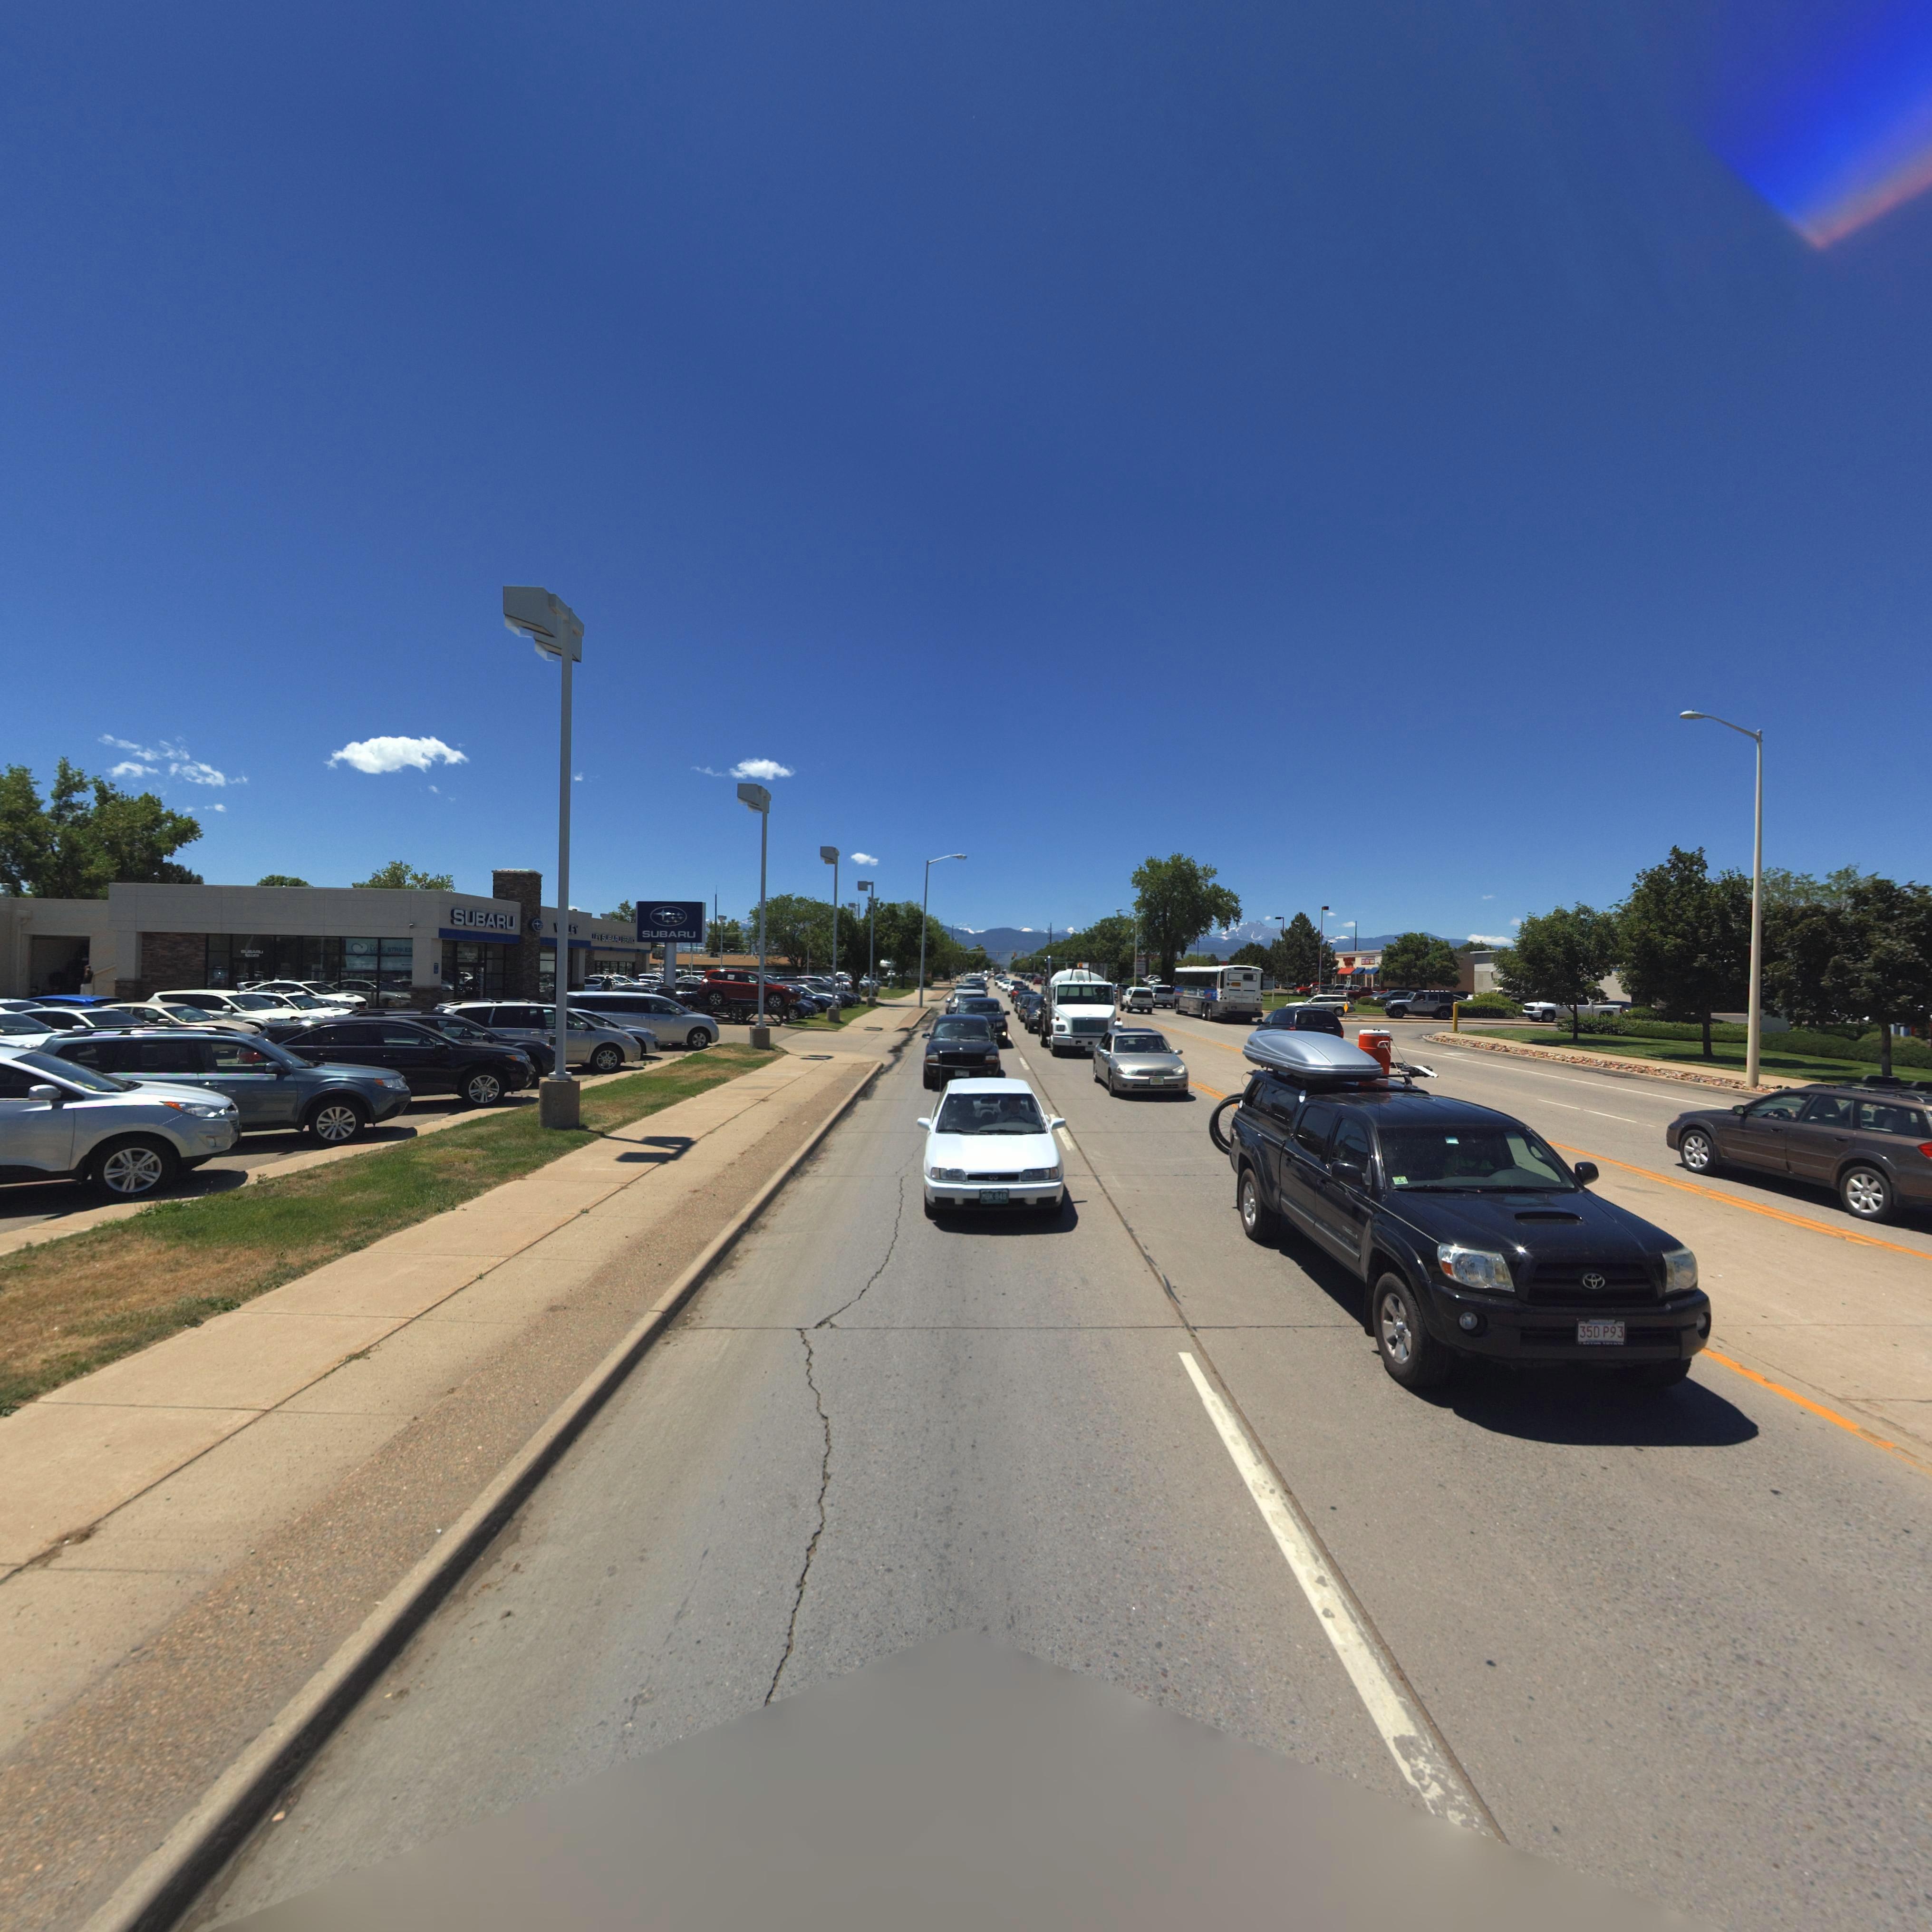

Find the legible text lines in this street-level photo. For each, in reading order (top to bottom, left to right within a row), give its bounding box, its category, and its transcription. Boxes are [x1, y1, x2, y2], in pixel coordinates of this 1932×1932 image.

[452, 908, 515, 930] BusinessName: SUBARU
[555, 923, 579, 934] BusinessName: EY
[592, 933, 636, 944] BusinessName: LEY SUBARU SERVICE
[642, 930, 696, 938] BusinessName: SUBARU
[241, 949, 263, 954] BusinessName: SUBARU
[244, 954, 259, 956] BusinessName: SALES